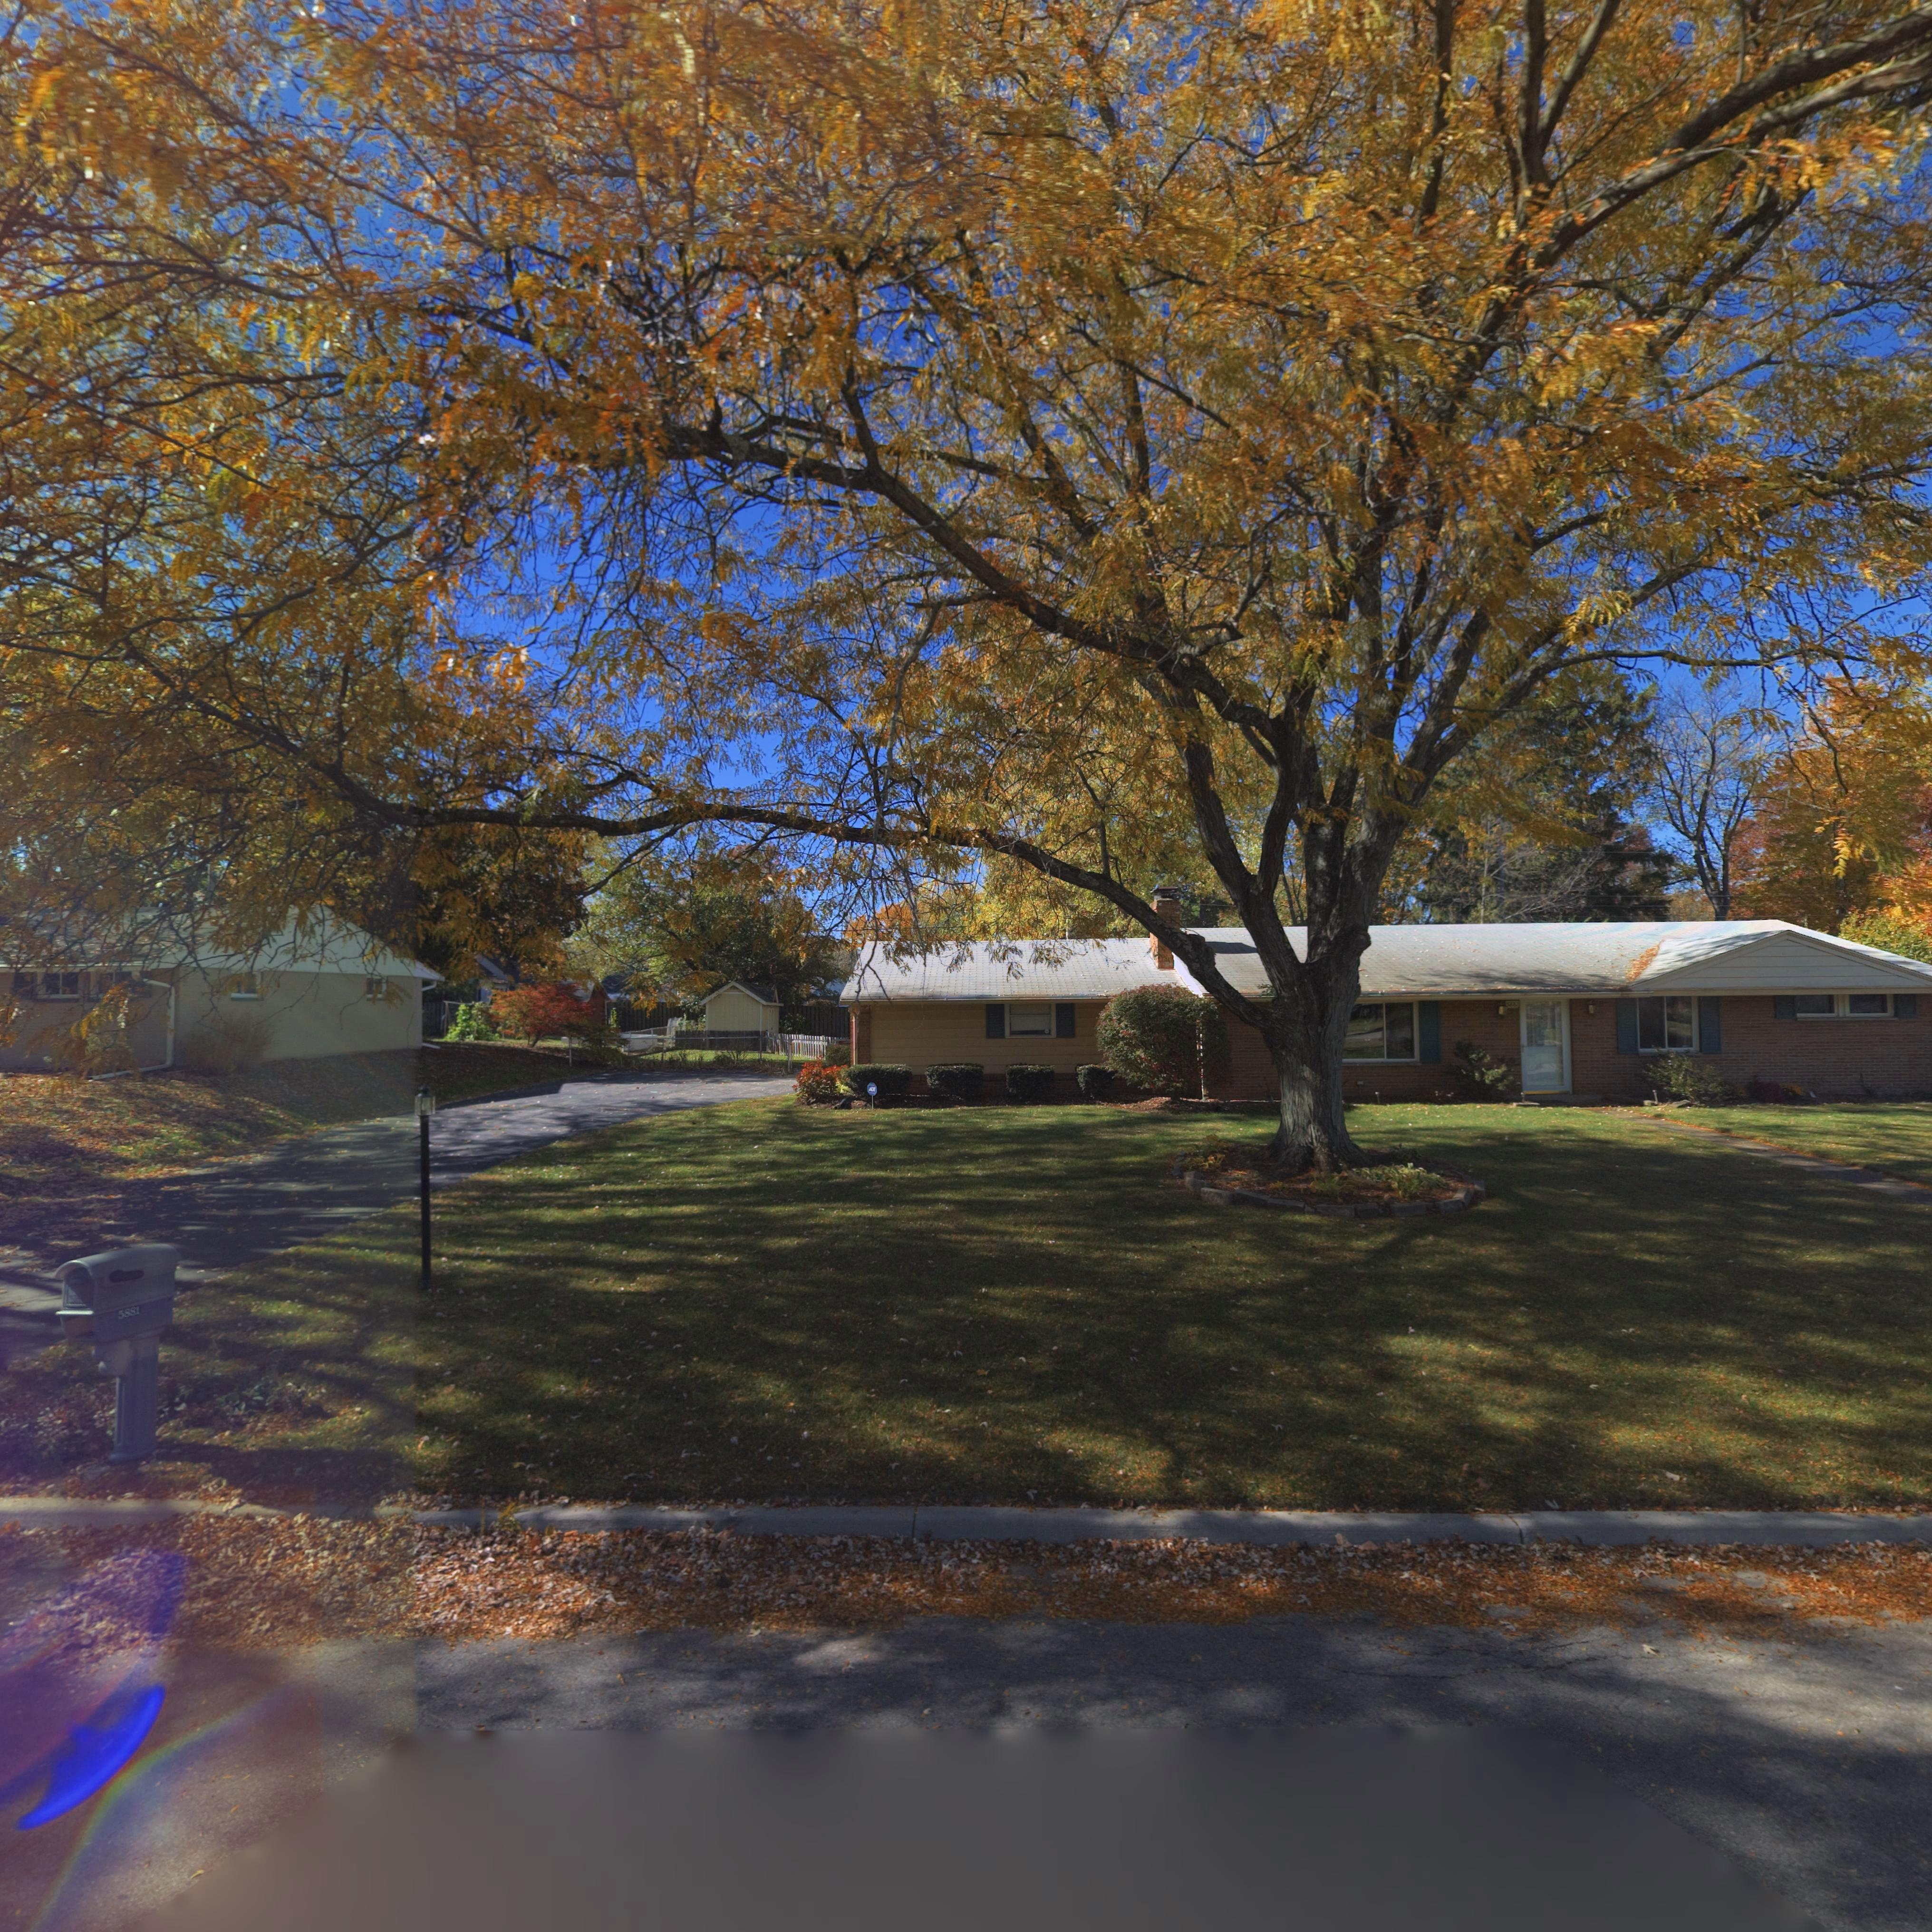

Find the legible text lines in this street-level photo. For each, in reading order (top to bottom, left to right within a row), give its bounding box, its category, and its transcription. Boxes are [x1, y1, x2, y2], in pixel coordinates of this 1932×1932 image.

[1505, 1001, 1519, 1007] StreetNumber: 588*
[117, 1305, 140, 1321] StreetNumber: 5881